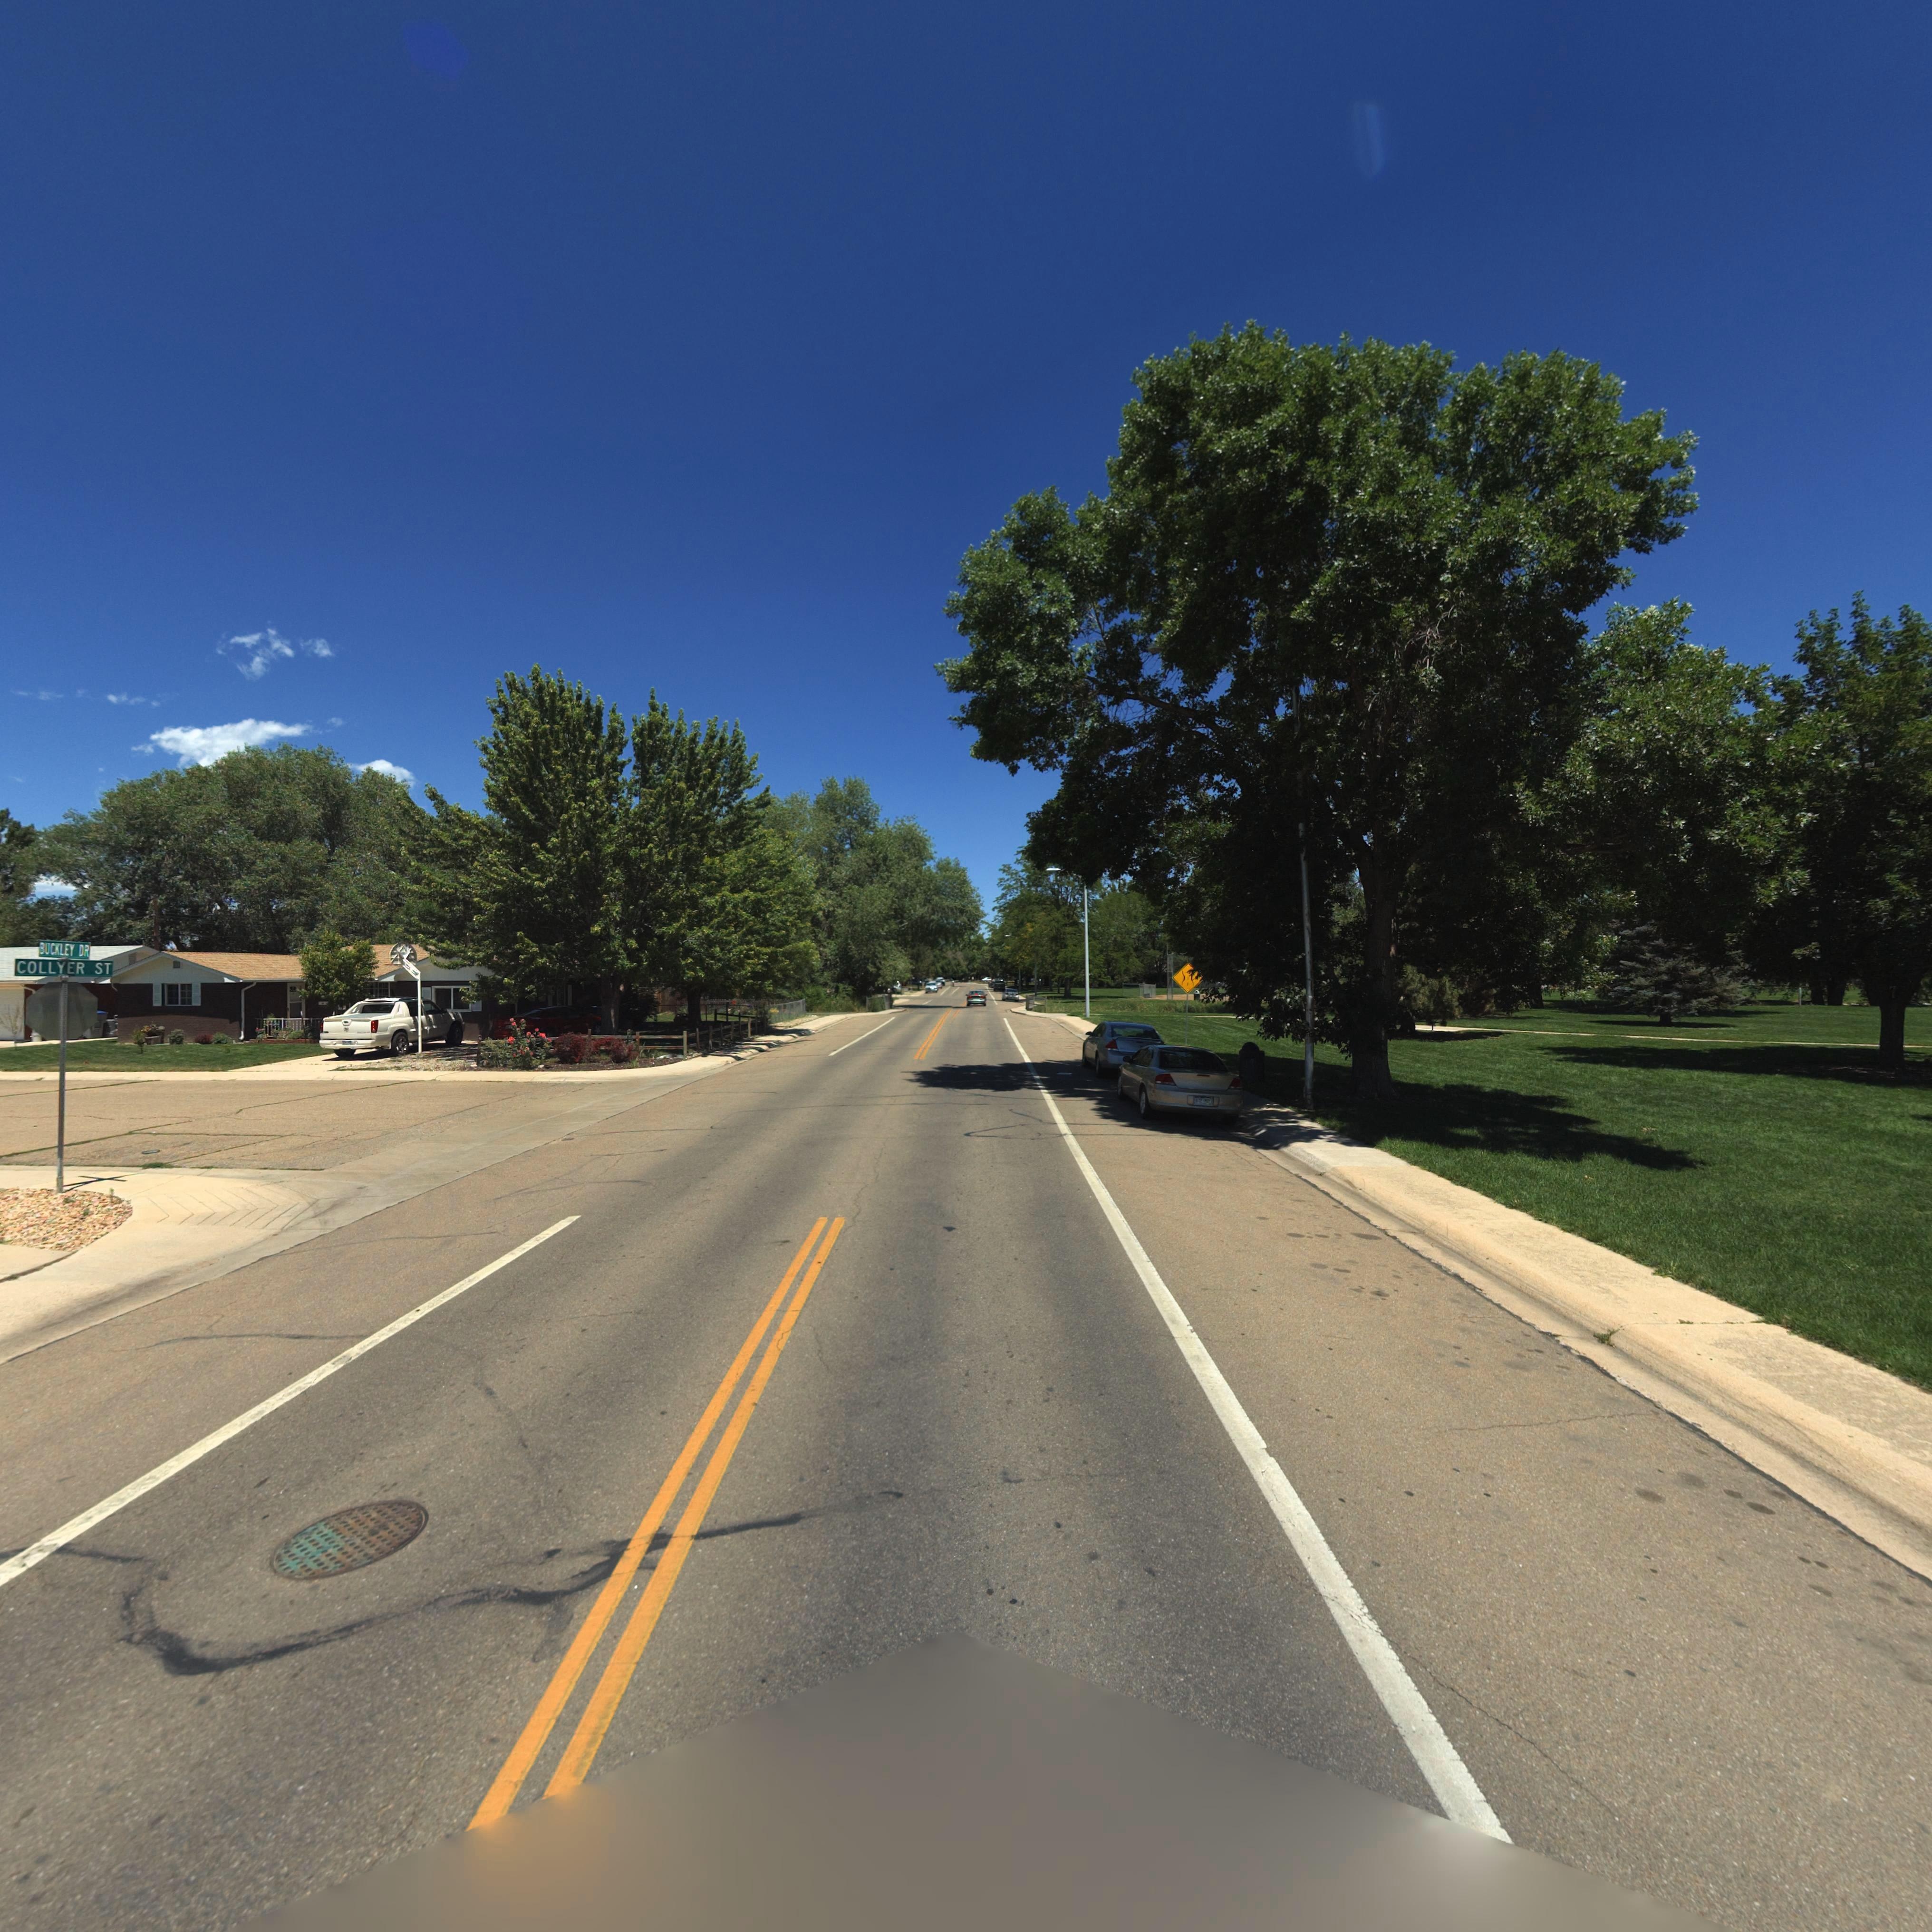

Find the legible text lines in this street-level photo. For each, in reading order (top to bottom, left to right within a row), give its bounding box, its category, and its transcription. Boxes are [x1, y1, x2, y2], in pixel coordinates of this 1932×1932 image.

[39, 942, 90, 957] StreetName: BUCKLEY DR
[16, 960, 112, 975] StreetName: COLLYER ST